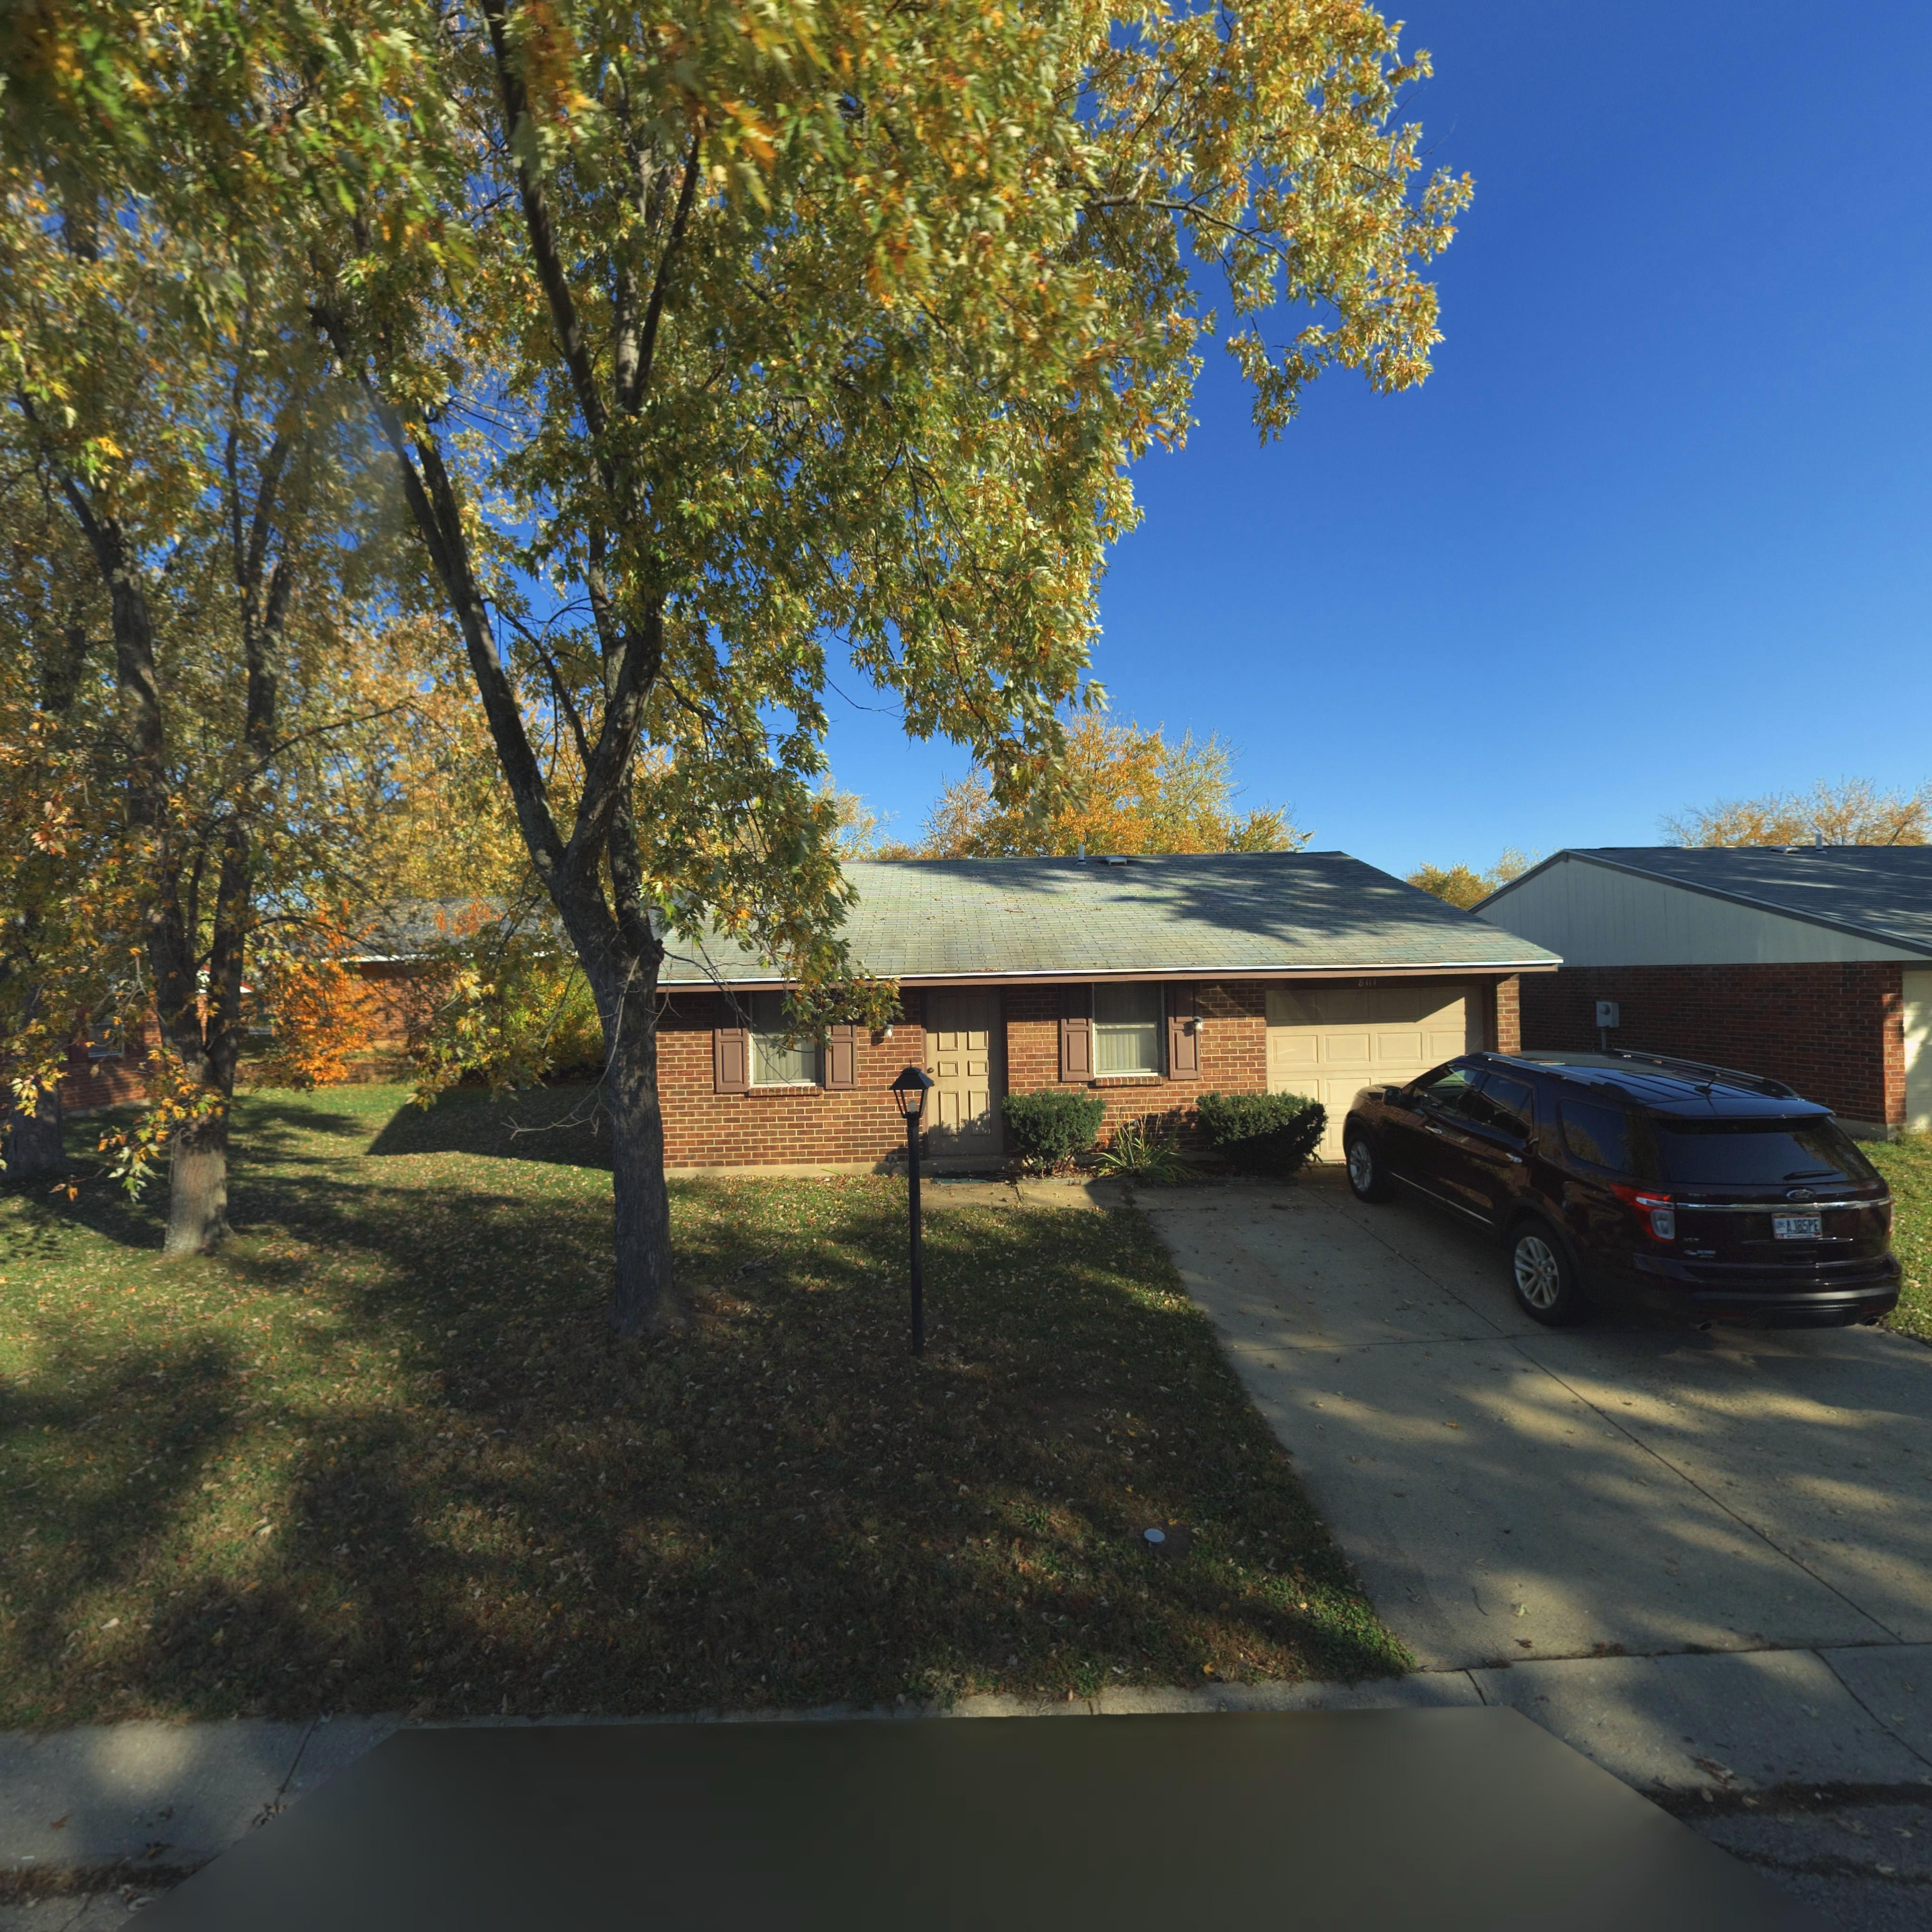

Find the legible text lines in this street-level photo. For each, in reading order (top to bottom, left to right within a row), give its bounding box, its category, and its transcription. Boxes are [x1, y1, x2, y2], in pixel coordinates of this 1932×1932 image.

[1357, 977, 1377, 988] StreetNumber: 8111